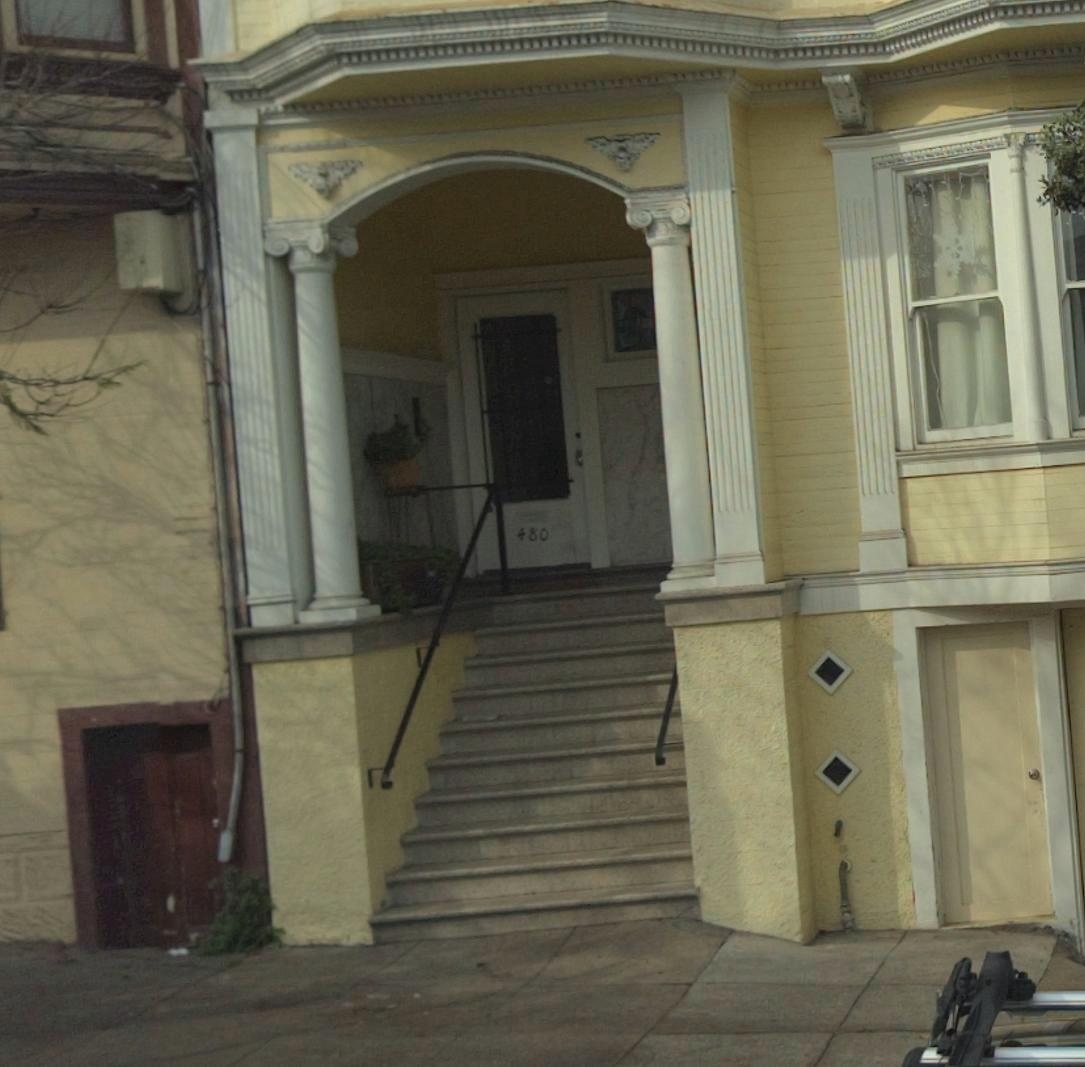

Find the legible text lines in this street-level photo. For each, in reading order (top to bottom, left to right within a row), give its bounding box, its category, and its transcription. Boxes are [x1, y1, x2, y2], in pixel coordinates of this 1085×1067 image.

[516, 525, 551, 543] StreetNumber: 480